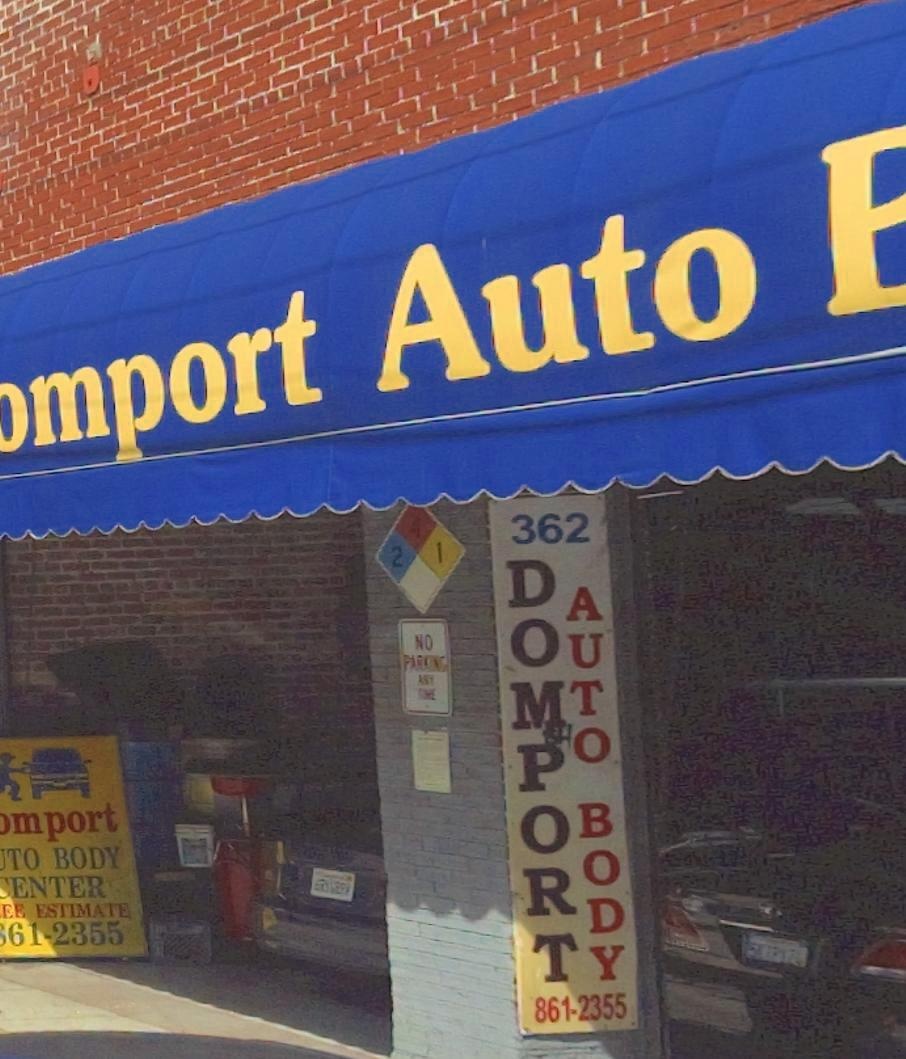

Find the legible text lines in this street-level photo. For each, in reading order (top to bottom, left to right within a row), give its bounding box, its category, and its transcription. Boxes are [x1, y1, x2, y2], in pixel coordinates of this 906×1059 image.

[21, 180, 766, 468] BusinessName: mport Auto
[506, 510, 591, 548] StreetNumber: 362
[389, 544, 404, 569] None: 2
[433, 541, 443, 566] None: 1
[412, 633, 433, 651] None: NO
[404, 655, 447, 673] None: PARKING
[501, 555, 584, 988] BusinessName: DOMPORT
[564, 584, 629, 990] None: AUTO BODY
[10, 799, 126, 845] None: mport
[6, 841, 126, 871] None: TO BODY
[9, 874, 105, 899] None: ENTER
[1, 902, 134, 920] None: EE ESTIMATE
[7, 918, 128, 948] None: 61-2355
[534, 989, 629, 1026] None: 861-2355